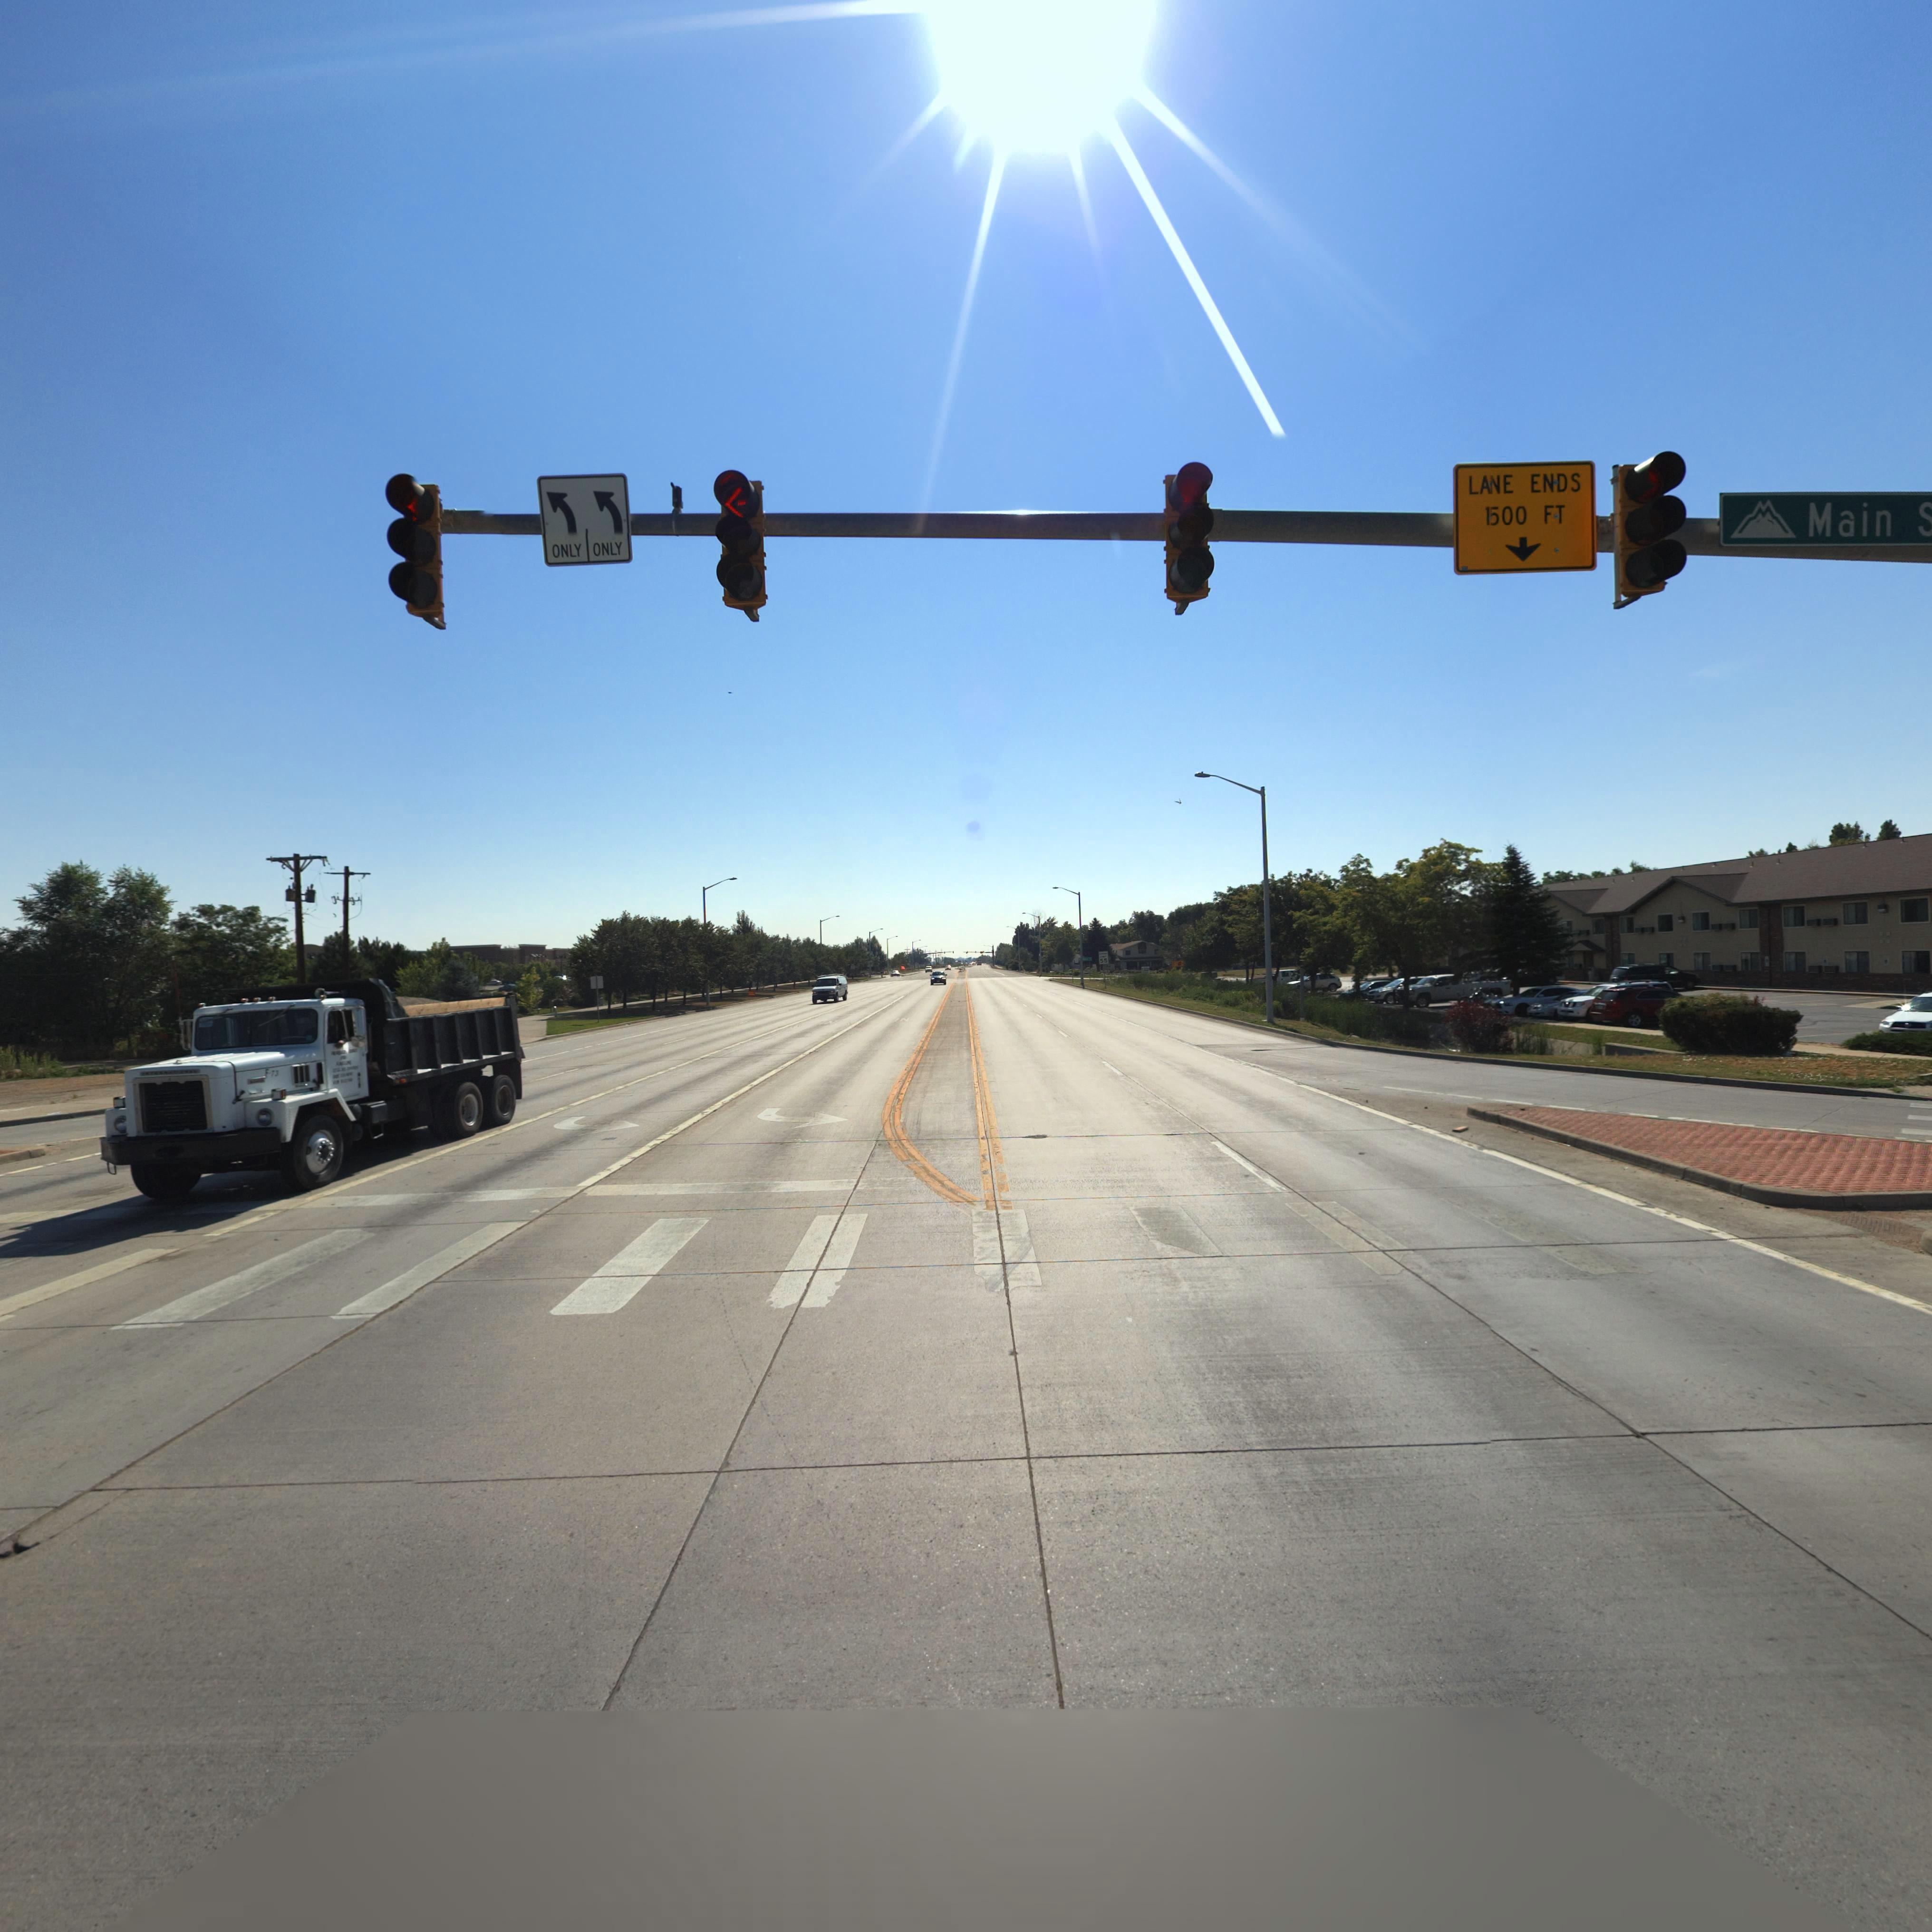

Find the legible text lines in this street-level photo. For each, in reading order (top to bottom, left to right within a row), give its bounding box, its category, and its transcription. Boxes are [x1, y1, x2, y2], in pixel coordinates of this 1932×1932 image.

[1806, 501, 1894, 539] StreetName: Main